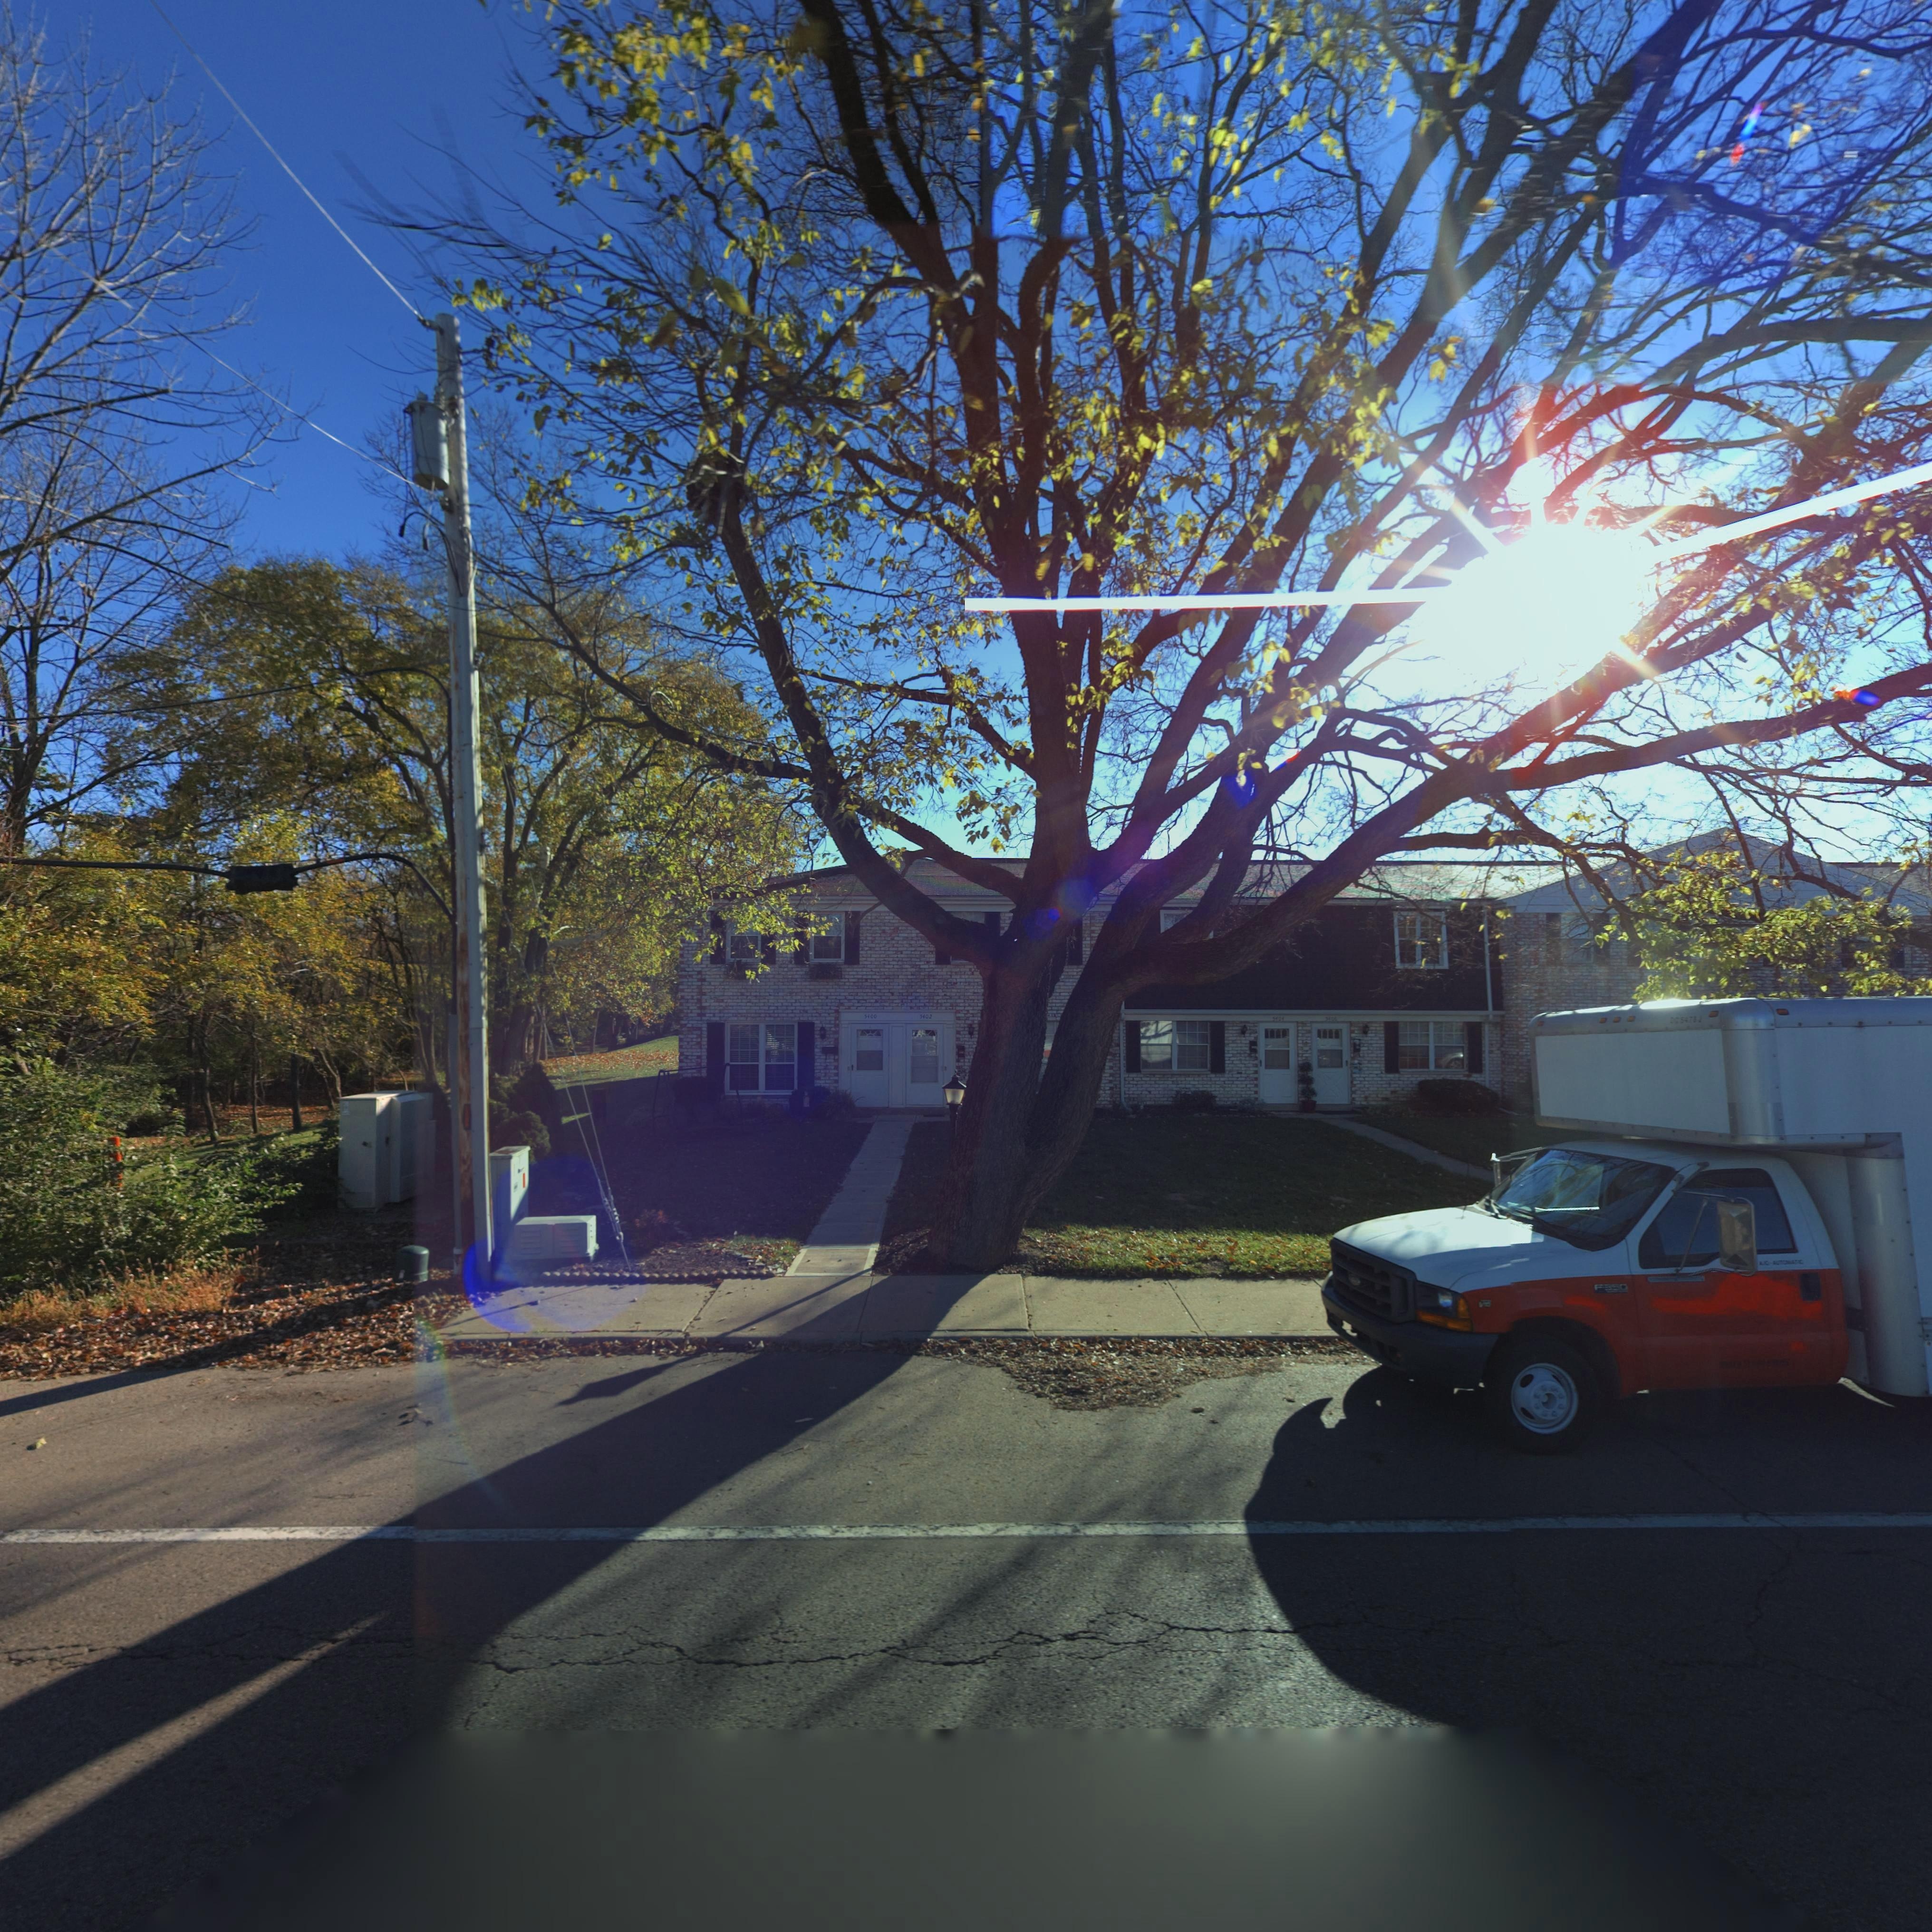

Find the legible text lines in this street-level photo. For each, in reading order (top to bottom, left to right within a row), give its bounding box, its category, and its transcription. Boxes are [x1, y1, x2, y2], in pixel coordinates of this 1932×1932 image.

[863, 1014, 878, 1019] StreetNumber: 5400
[919, 1014, 933, 1020] StreetNumber: 5402
[1272, 1016, 1285, 1022] StreetNumber: **0*
[1324, 1015, 1338, 1022] StreetNumber: **0*